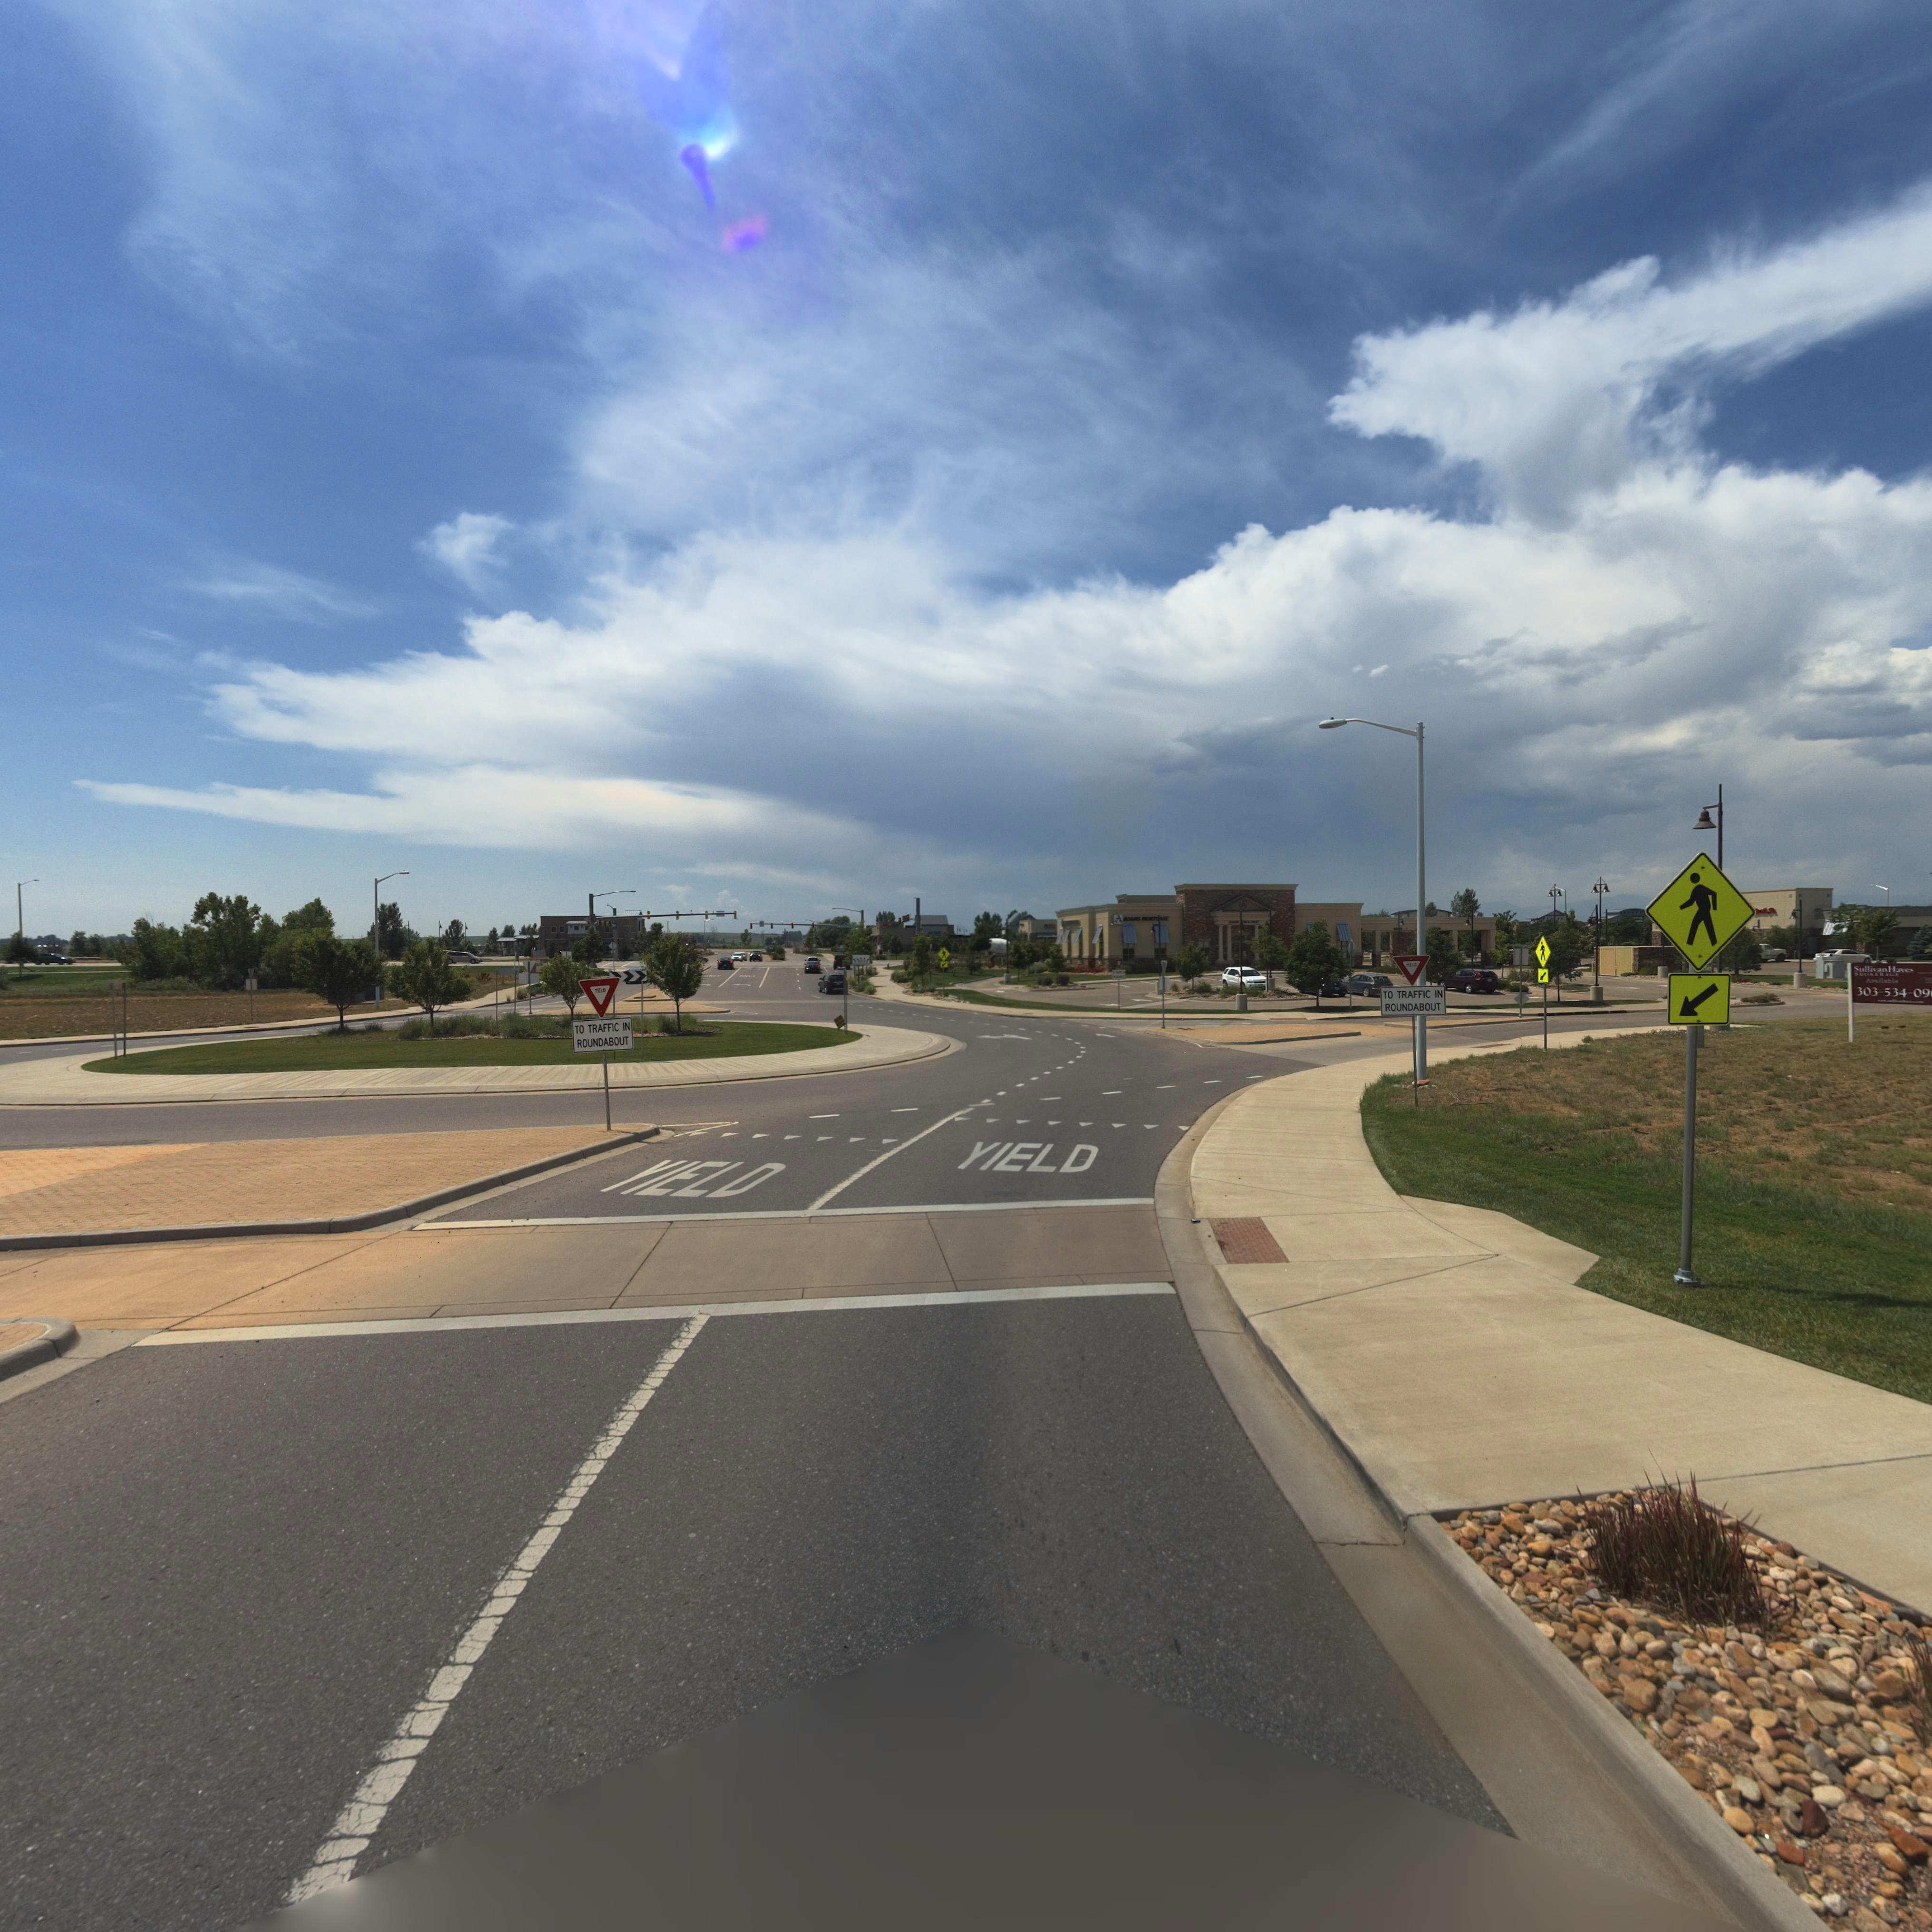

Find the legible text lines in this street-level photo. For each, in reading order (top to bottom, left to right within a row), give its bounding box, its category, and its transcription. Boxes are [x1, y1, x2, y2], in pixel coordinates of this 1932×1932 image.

[1754, 907, 1777, 914] BusinessName: *arl's Jr
[1122, 916, 1169, 921] BusinessName: ADAMS MORT**GE
[1228, 920, 1259, 923] BusinessName: ADAMS **NK & TRUST